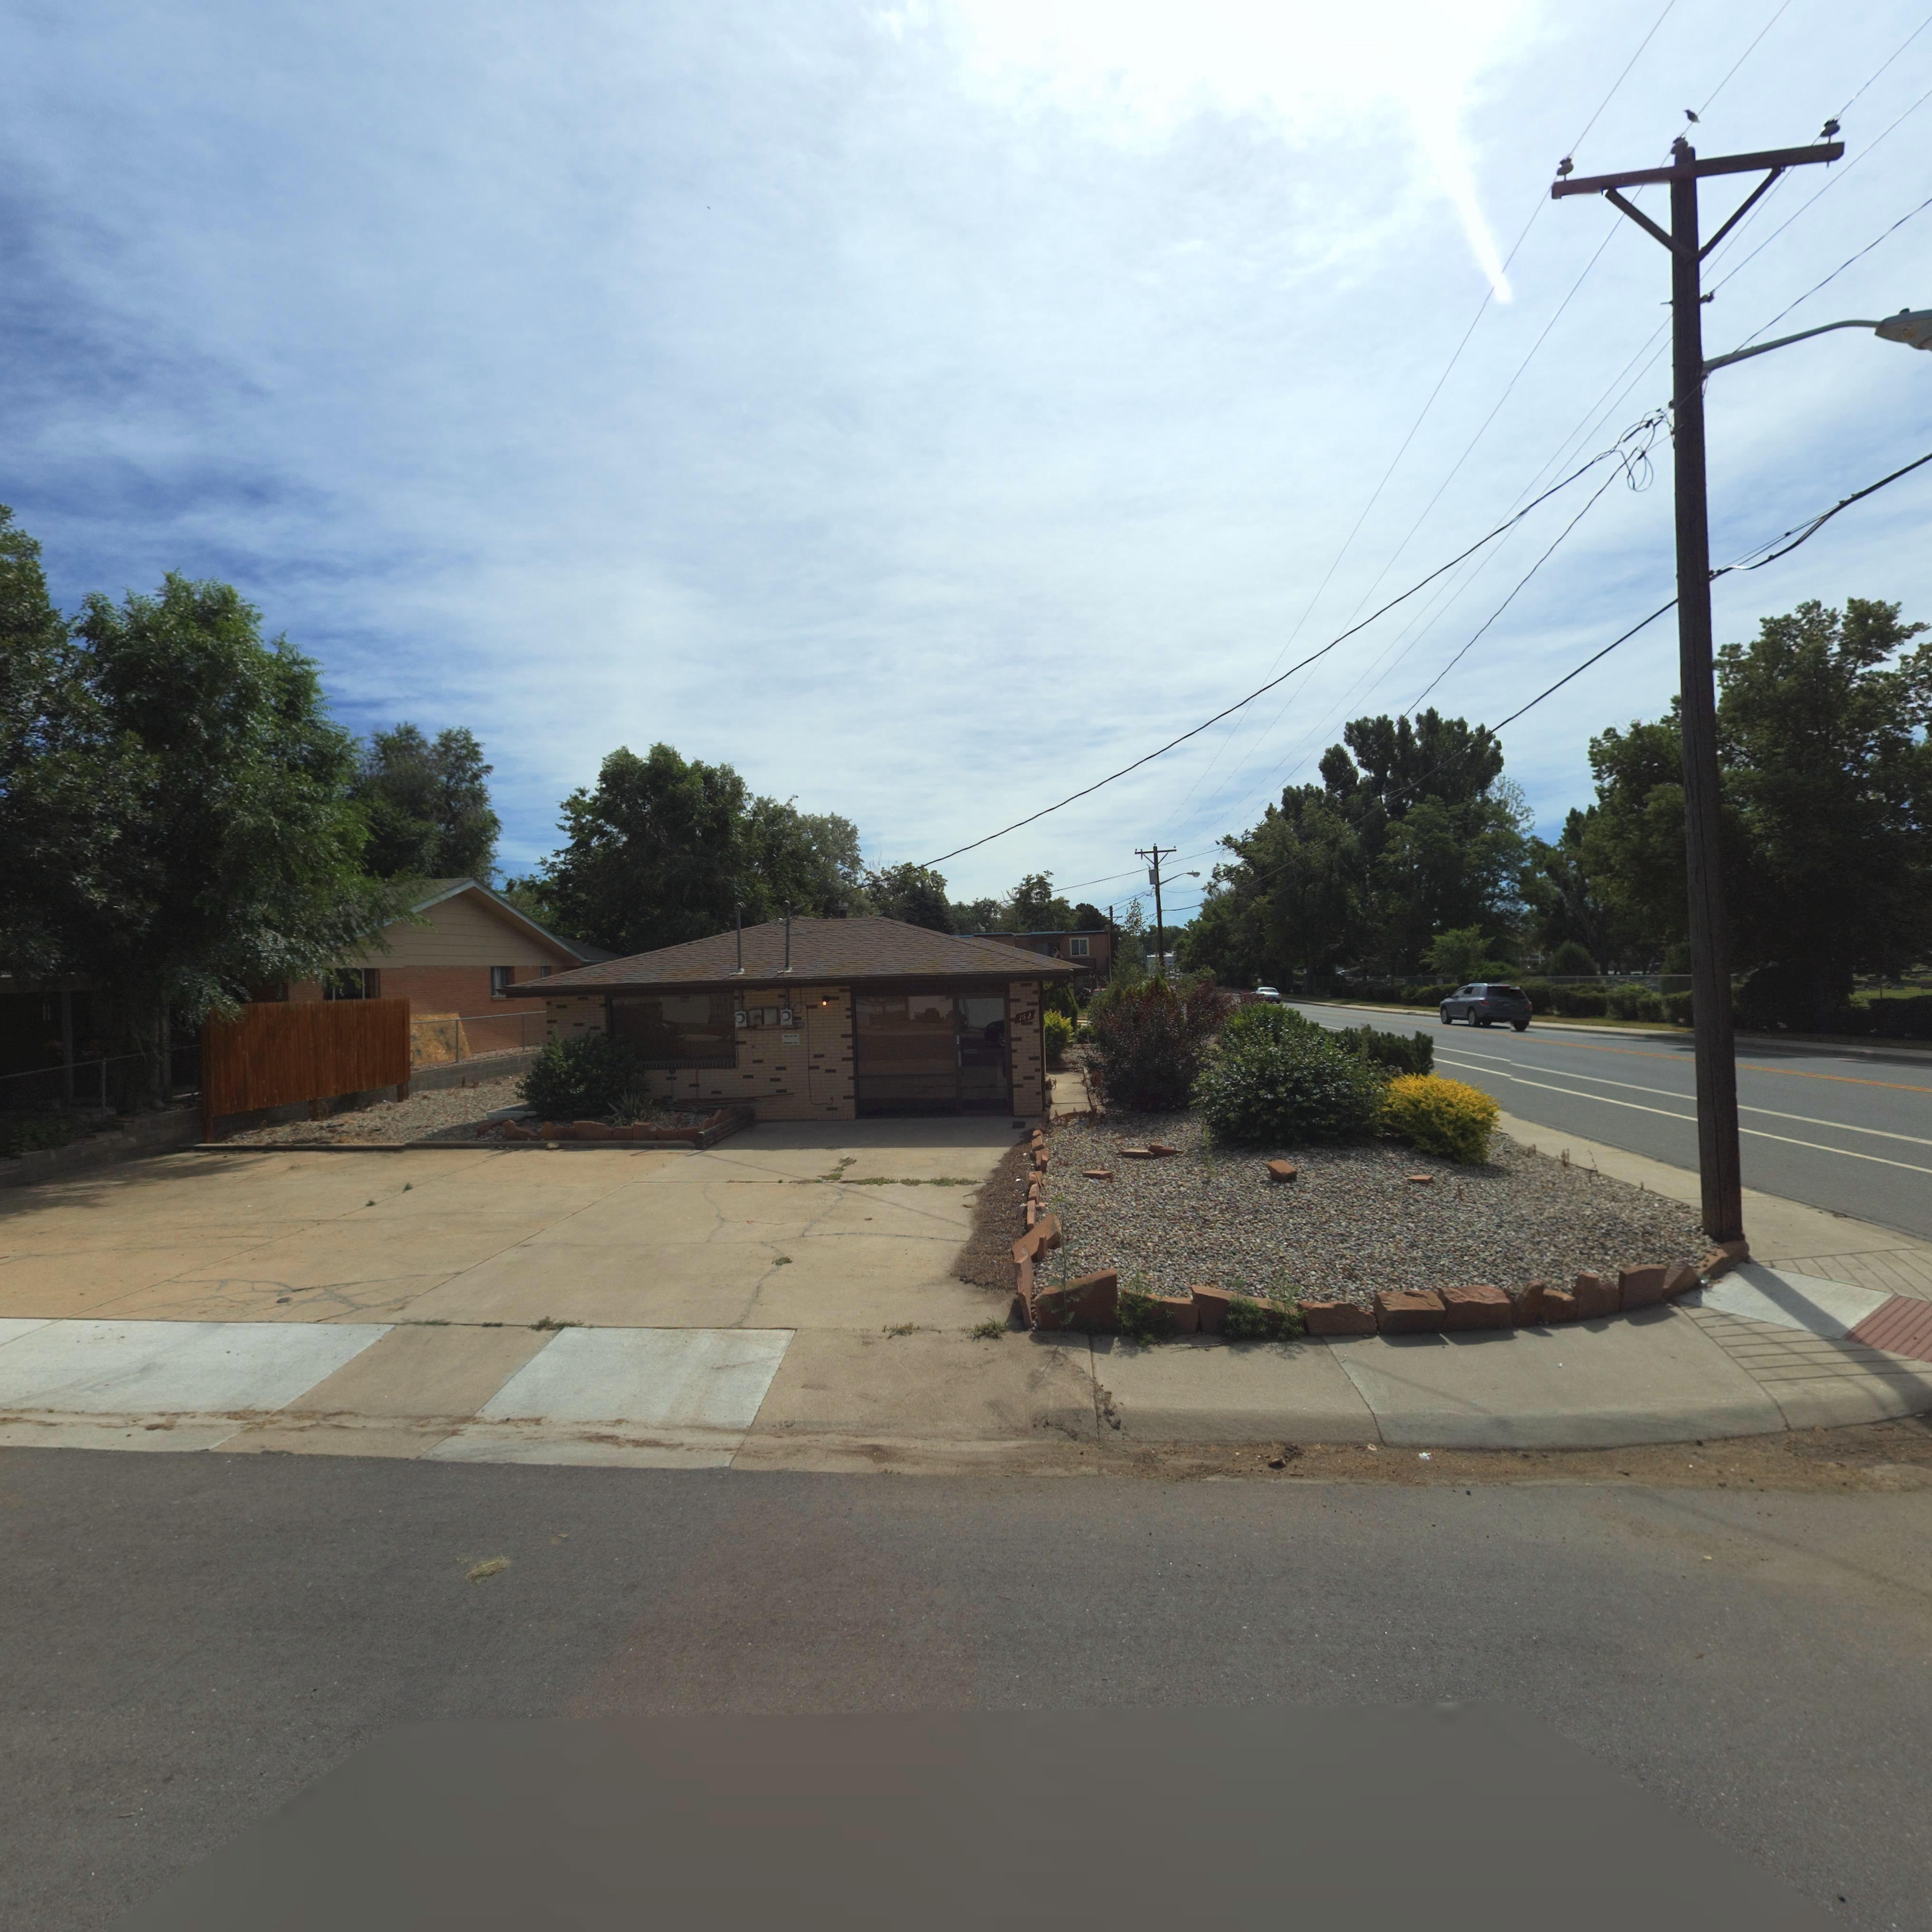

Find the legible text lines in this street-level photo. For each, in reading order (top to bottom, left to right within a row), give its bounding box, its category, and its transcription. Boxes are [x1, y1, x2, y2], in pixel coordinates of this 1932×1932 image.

[1018, 1011, 1031, 1021] StreetNumber: 762